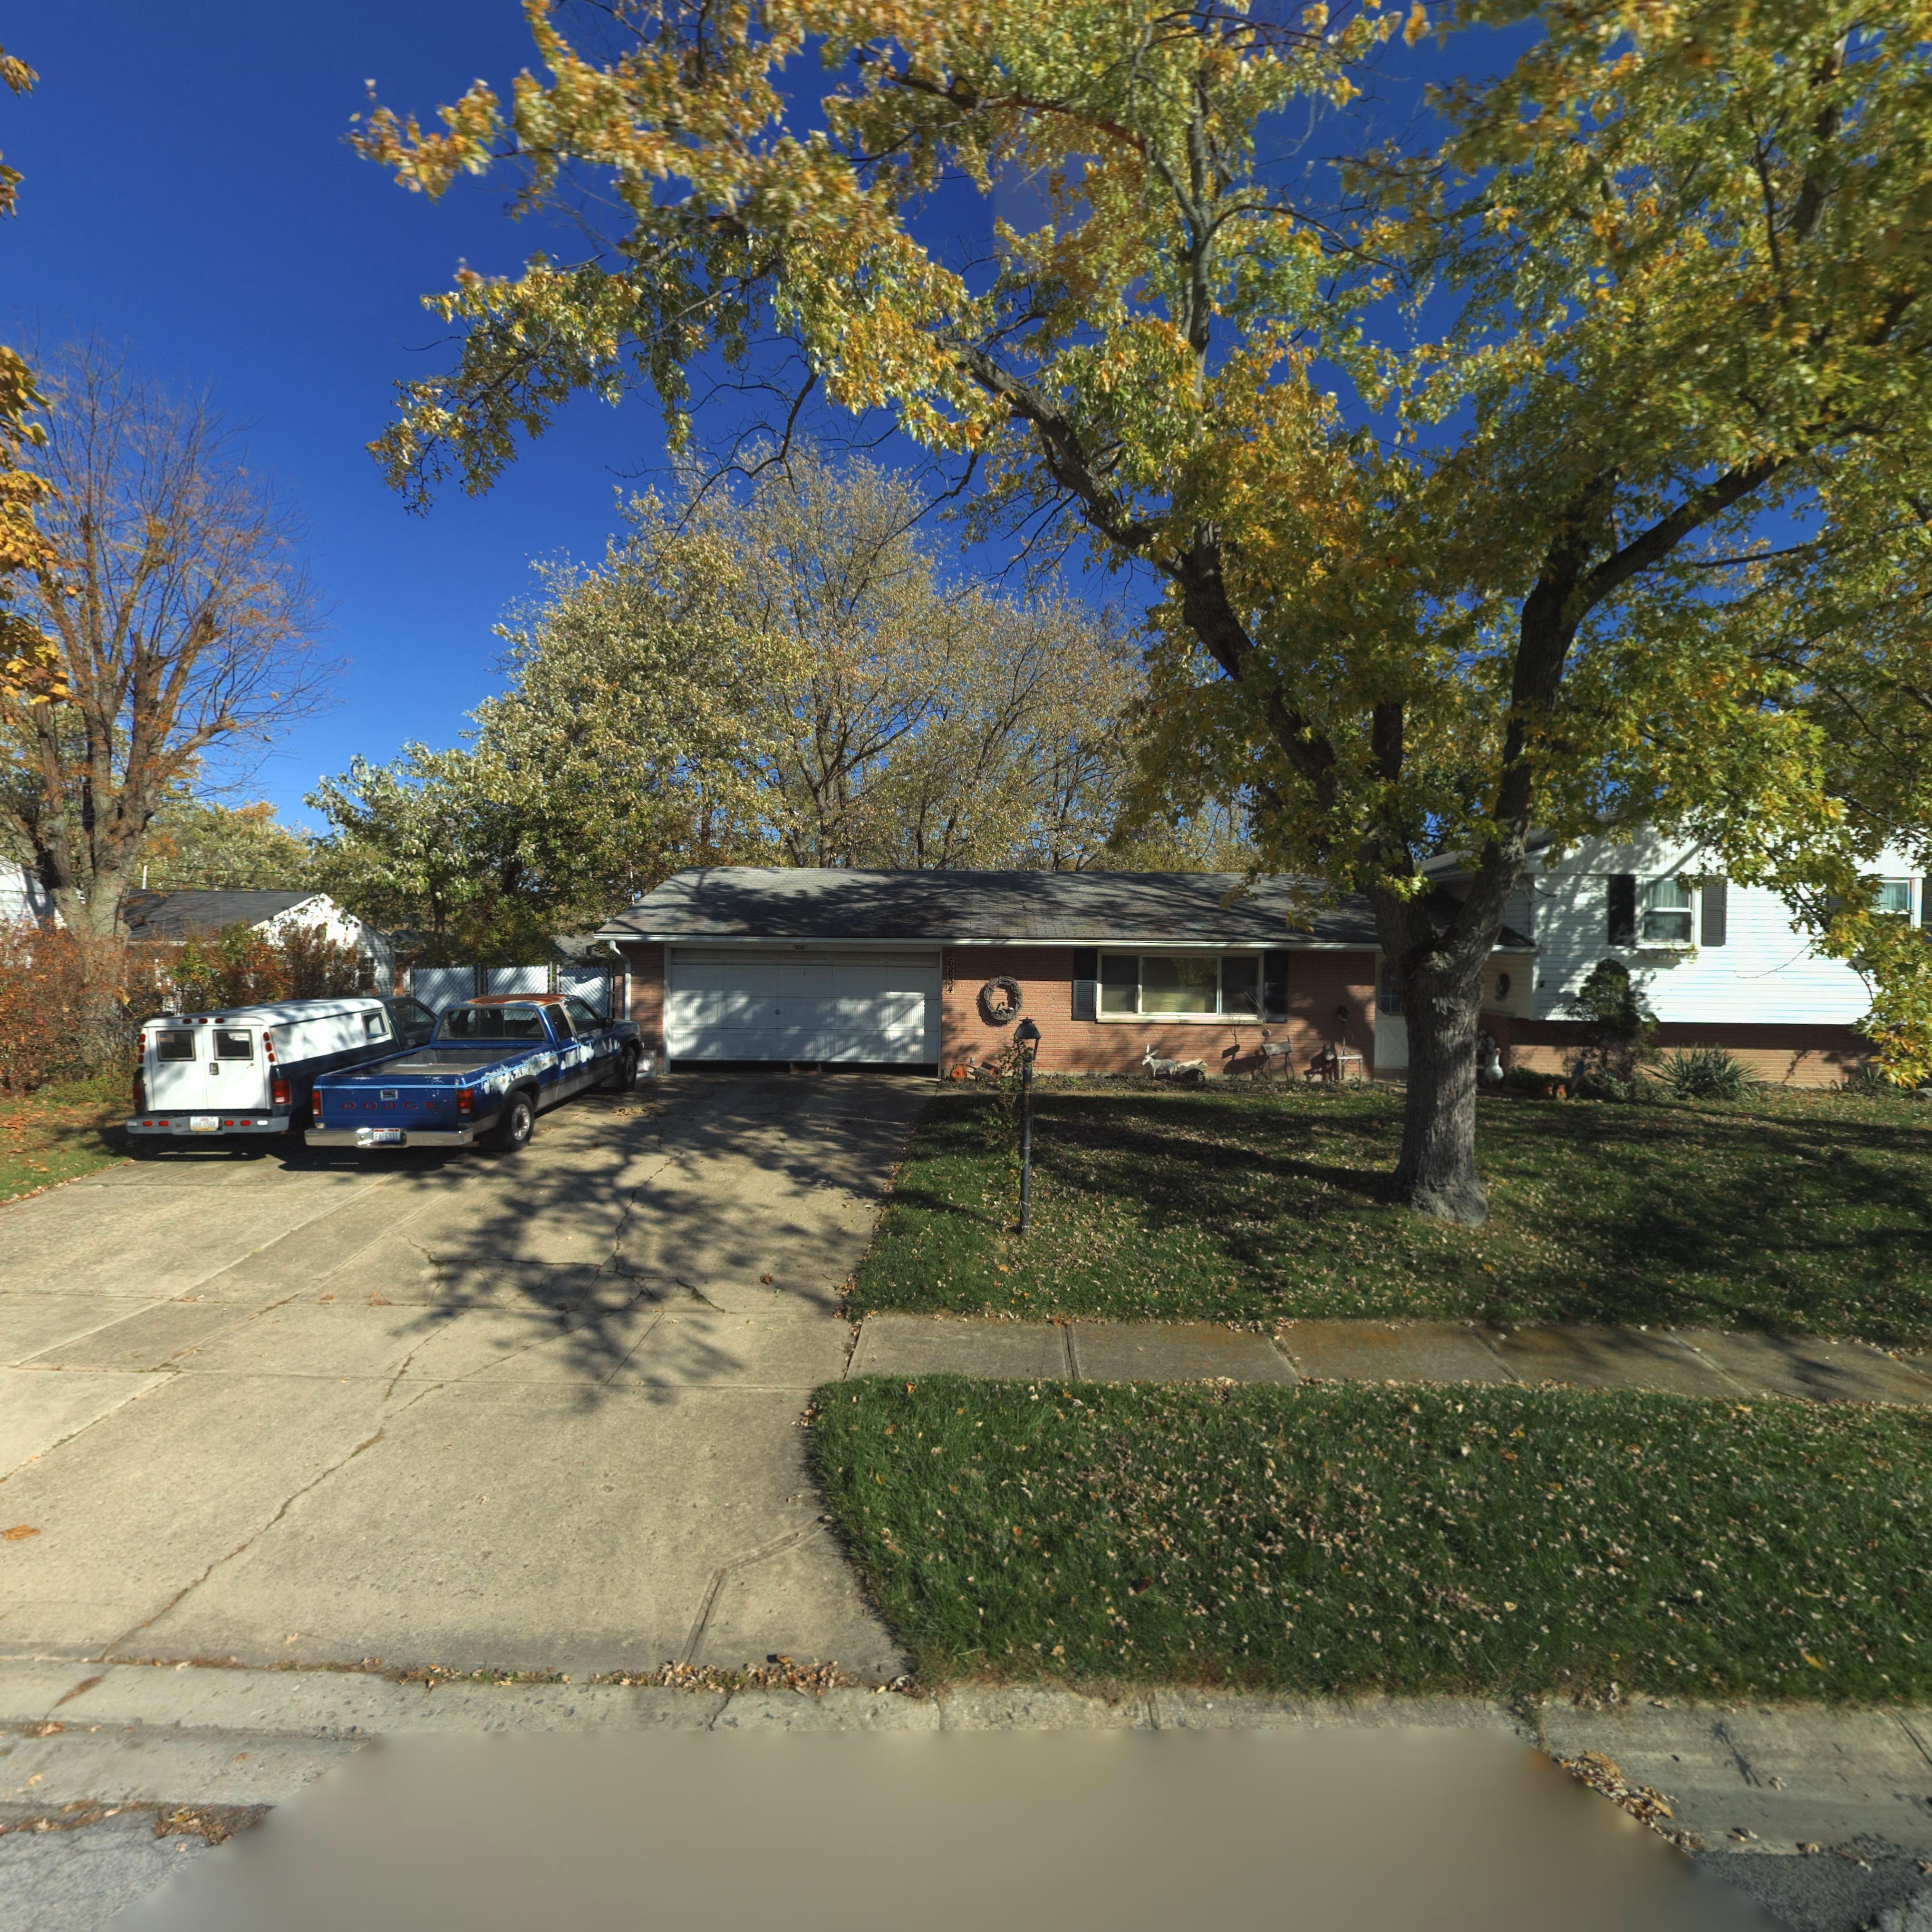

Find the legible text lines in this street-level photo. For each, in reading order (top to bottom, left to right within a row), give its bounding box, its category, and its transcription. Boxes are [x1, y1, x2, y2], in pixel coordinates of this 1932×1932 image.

[947, 957, 954, 993] StreetNumber: 6834
[341, 1101, 439, 1110] None: DODGE
[374, 1132, 398, 1141] None: FAF*6331